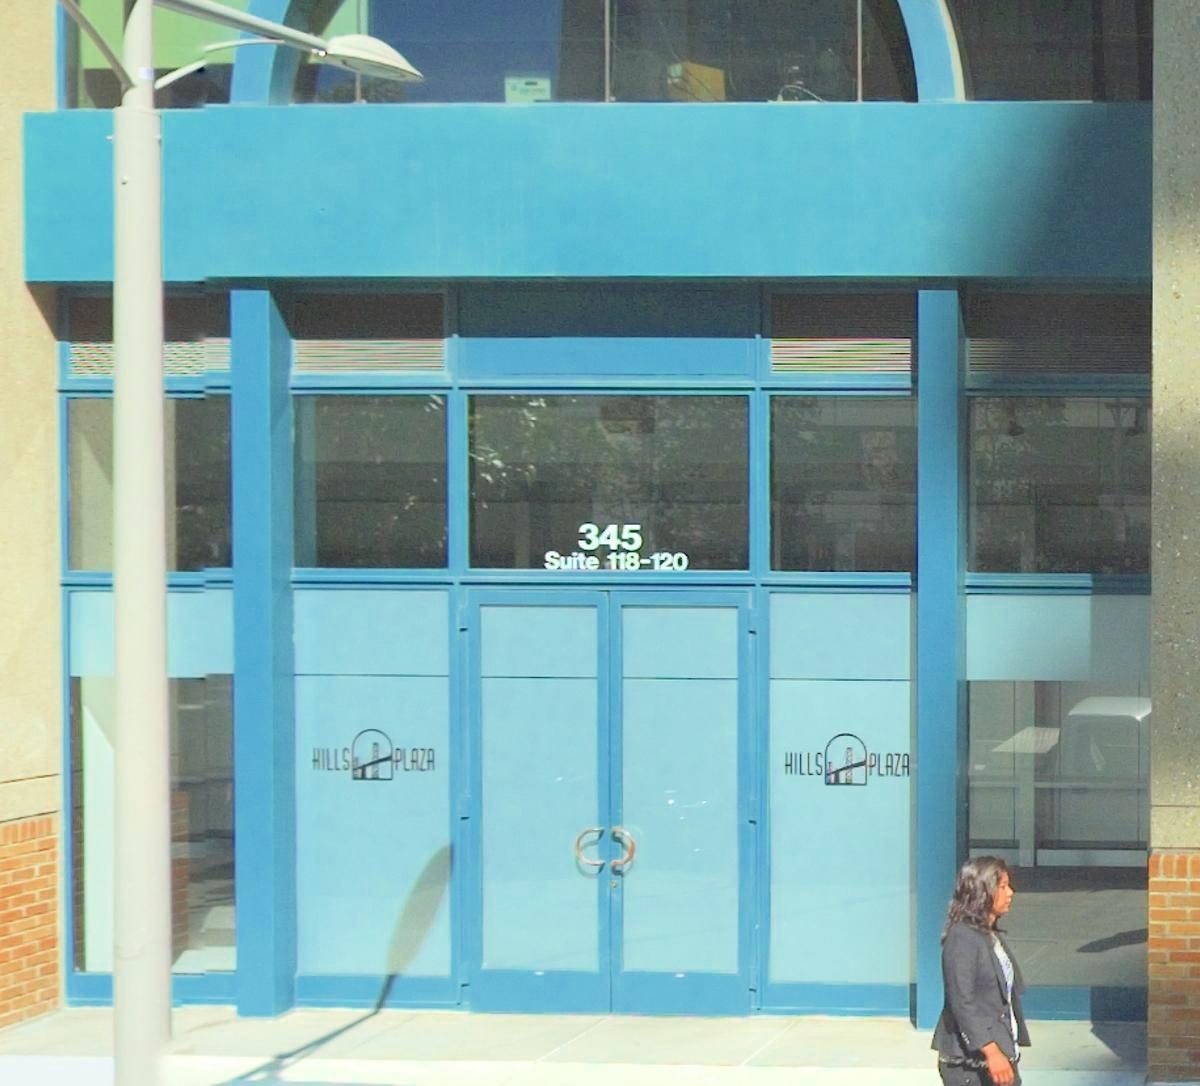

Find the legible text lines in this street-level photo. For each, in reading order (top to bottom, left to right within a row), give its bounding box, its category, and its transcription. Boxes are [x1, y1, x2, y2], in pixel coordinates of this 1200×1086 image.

[571, 519, 649, 556] StreetNumber: 345
[538, 545, 695, 575] SecondaryUnitDesignator: Suite 118-120
[308, 743, 440, 776] BusinessName: HILLS*PLAZA
[781, 746, 914, 781] BusinessName: HILLS*PLAZA